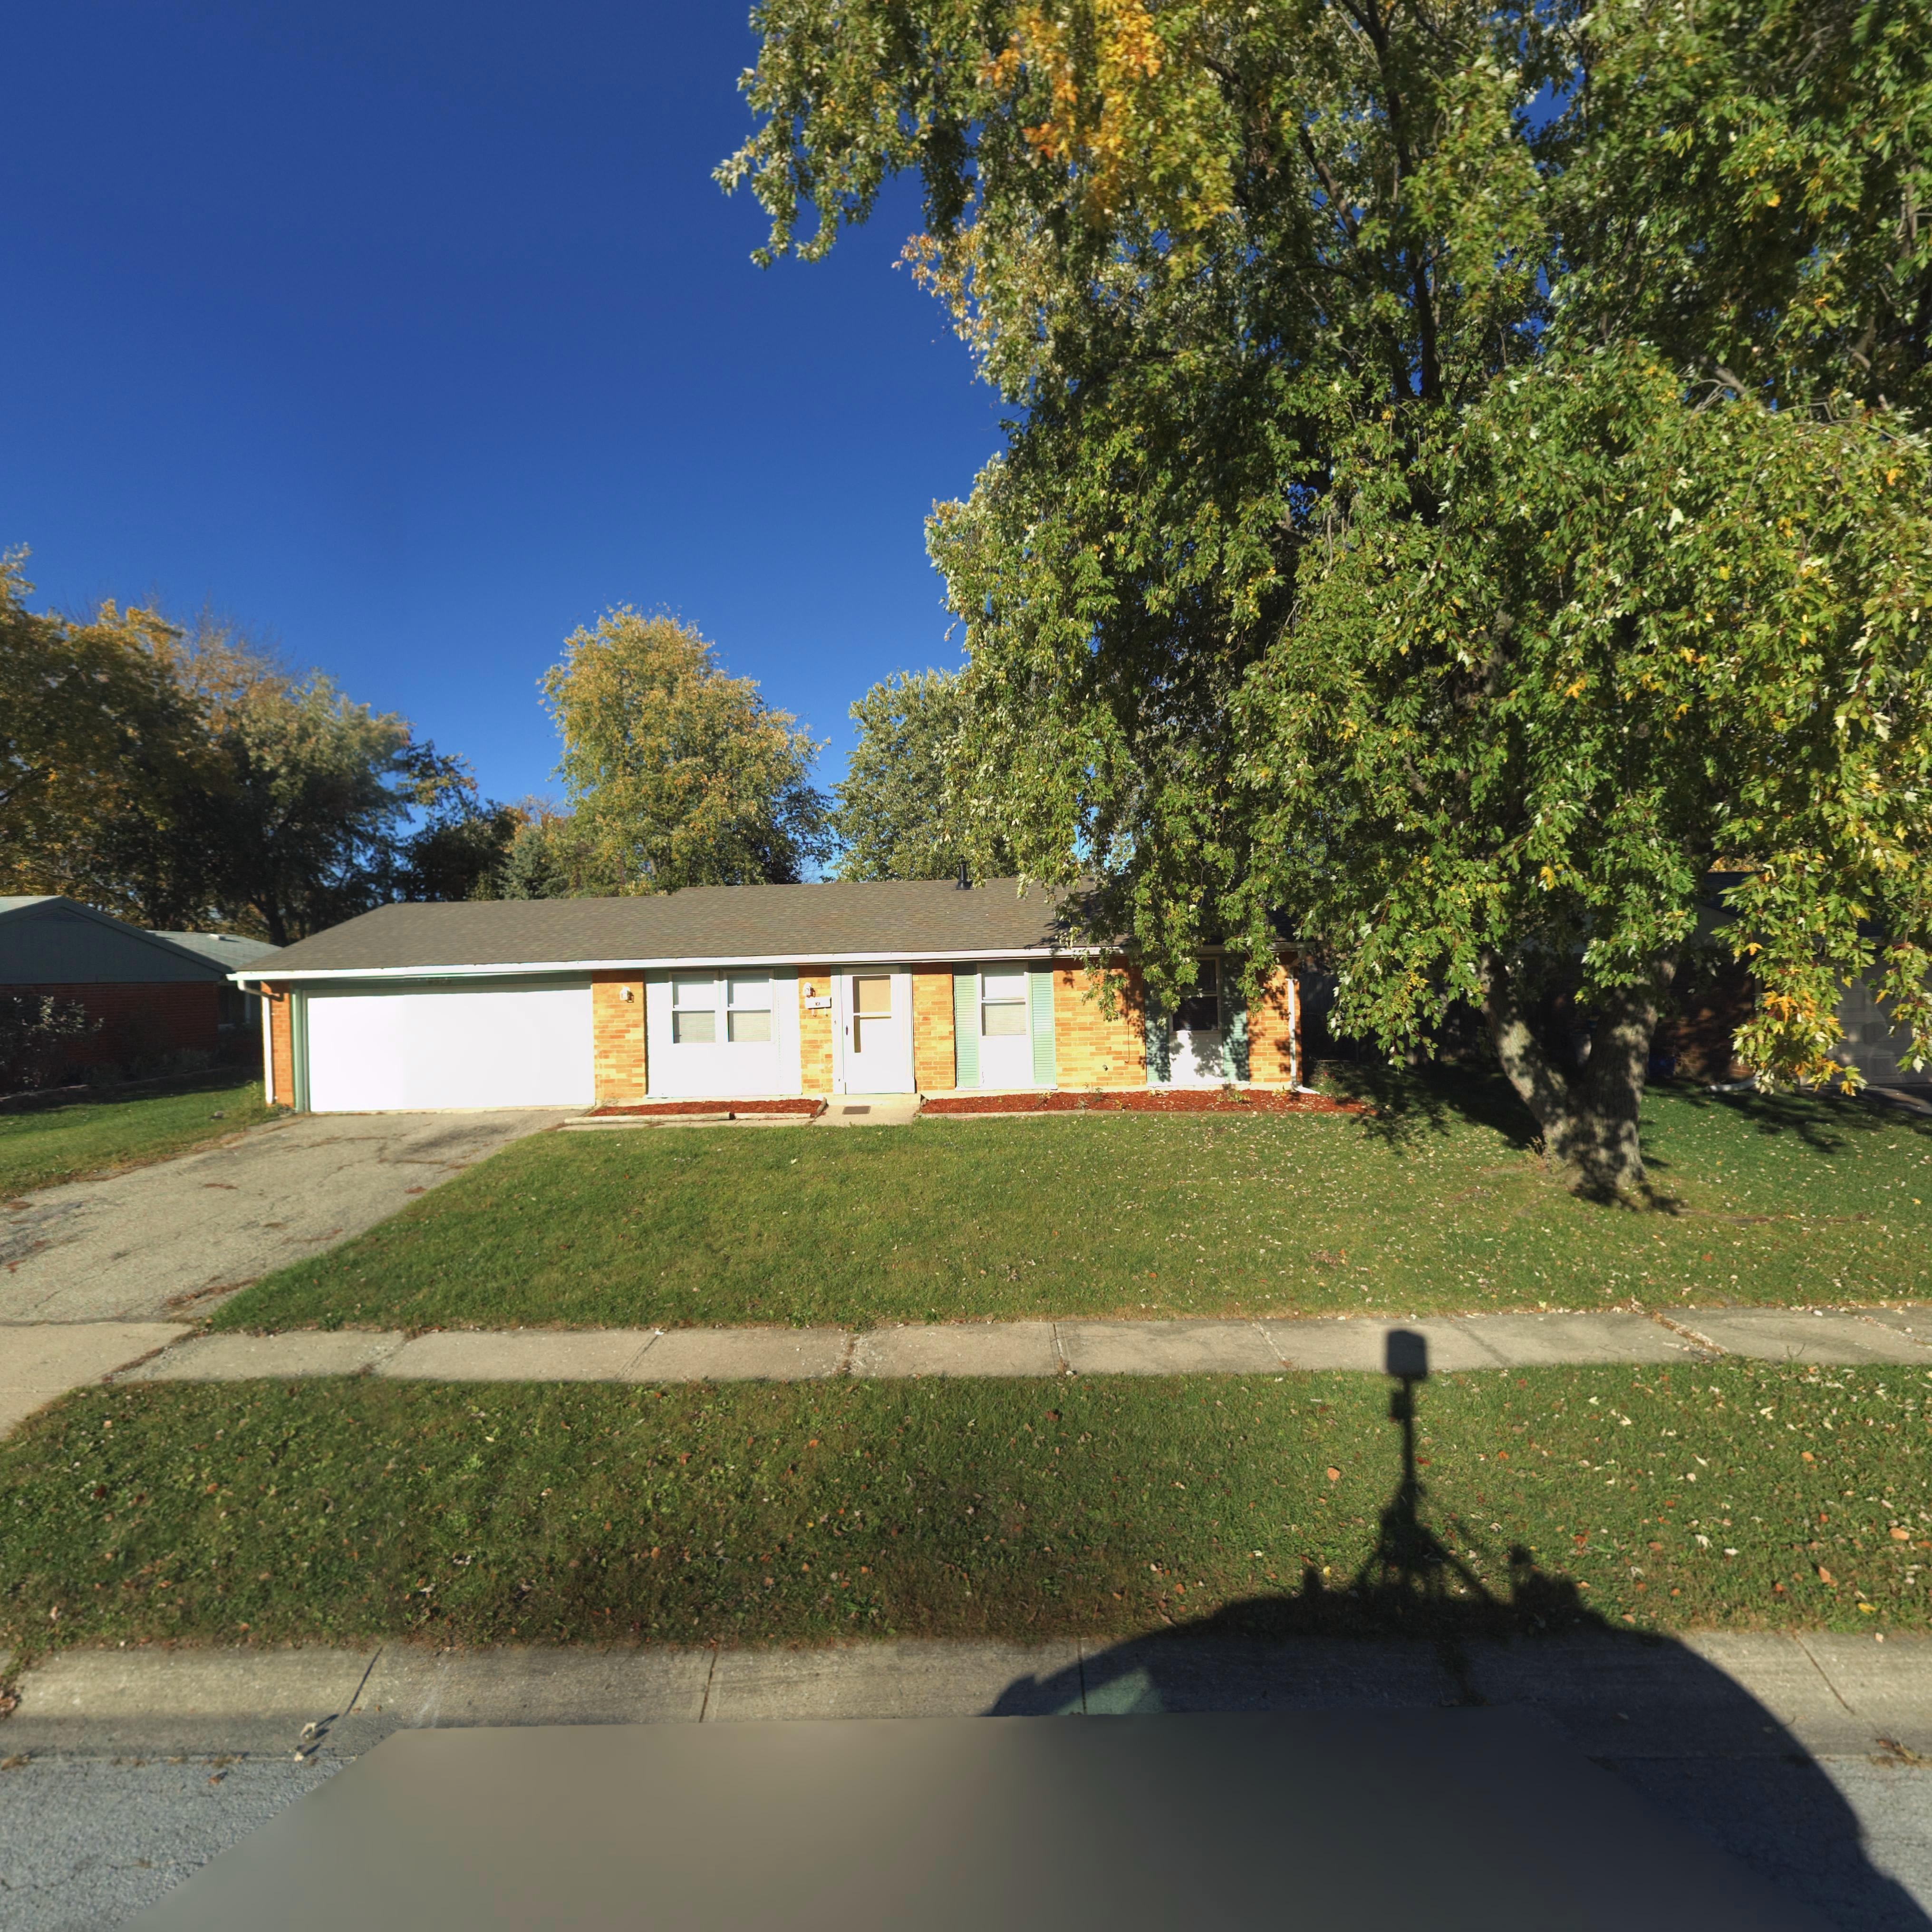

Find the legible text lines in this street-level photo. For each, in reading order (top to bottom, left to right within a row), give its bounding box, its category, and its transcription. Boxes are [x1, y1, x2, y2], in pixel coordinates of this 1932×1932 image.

[426, 977, 453, 987] StreetNumber: 4525